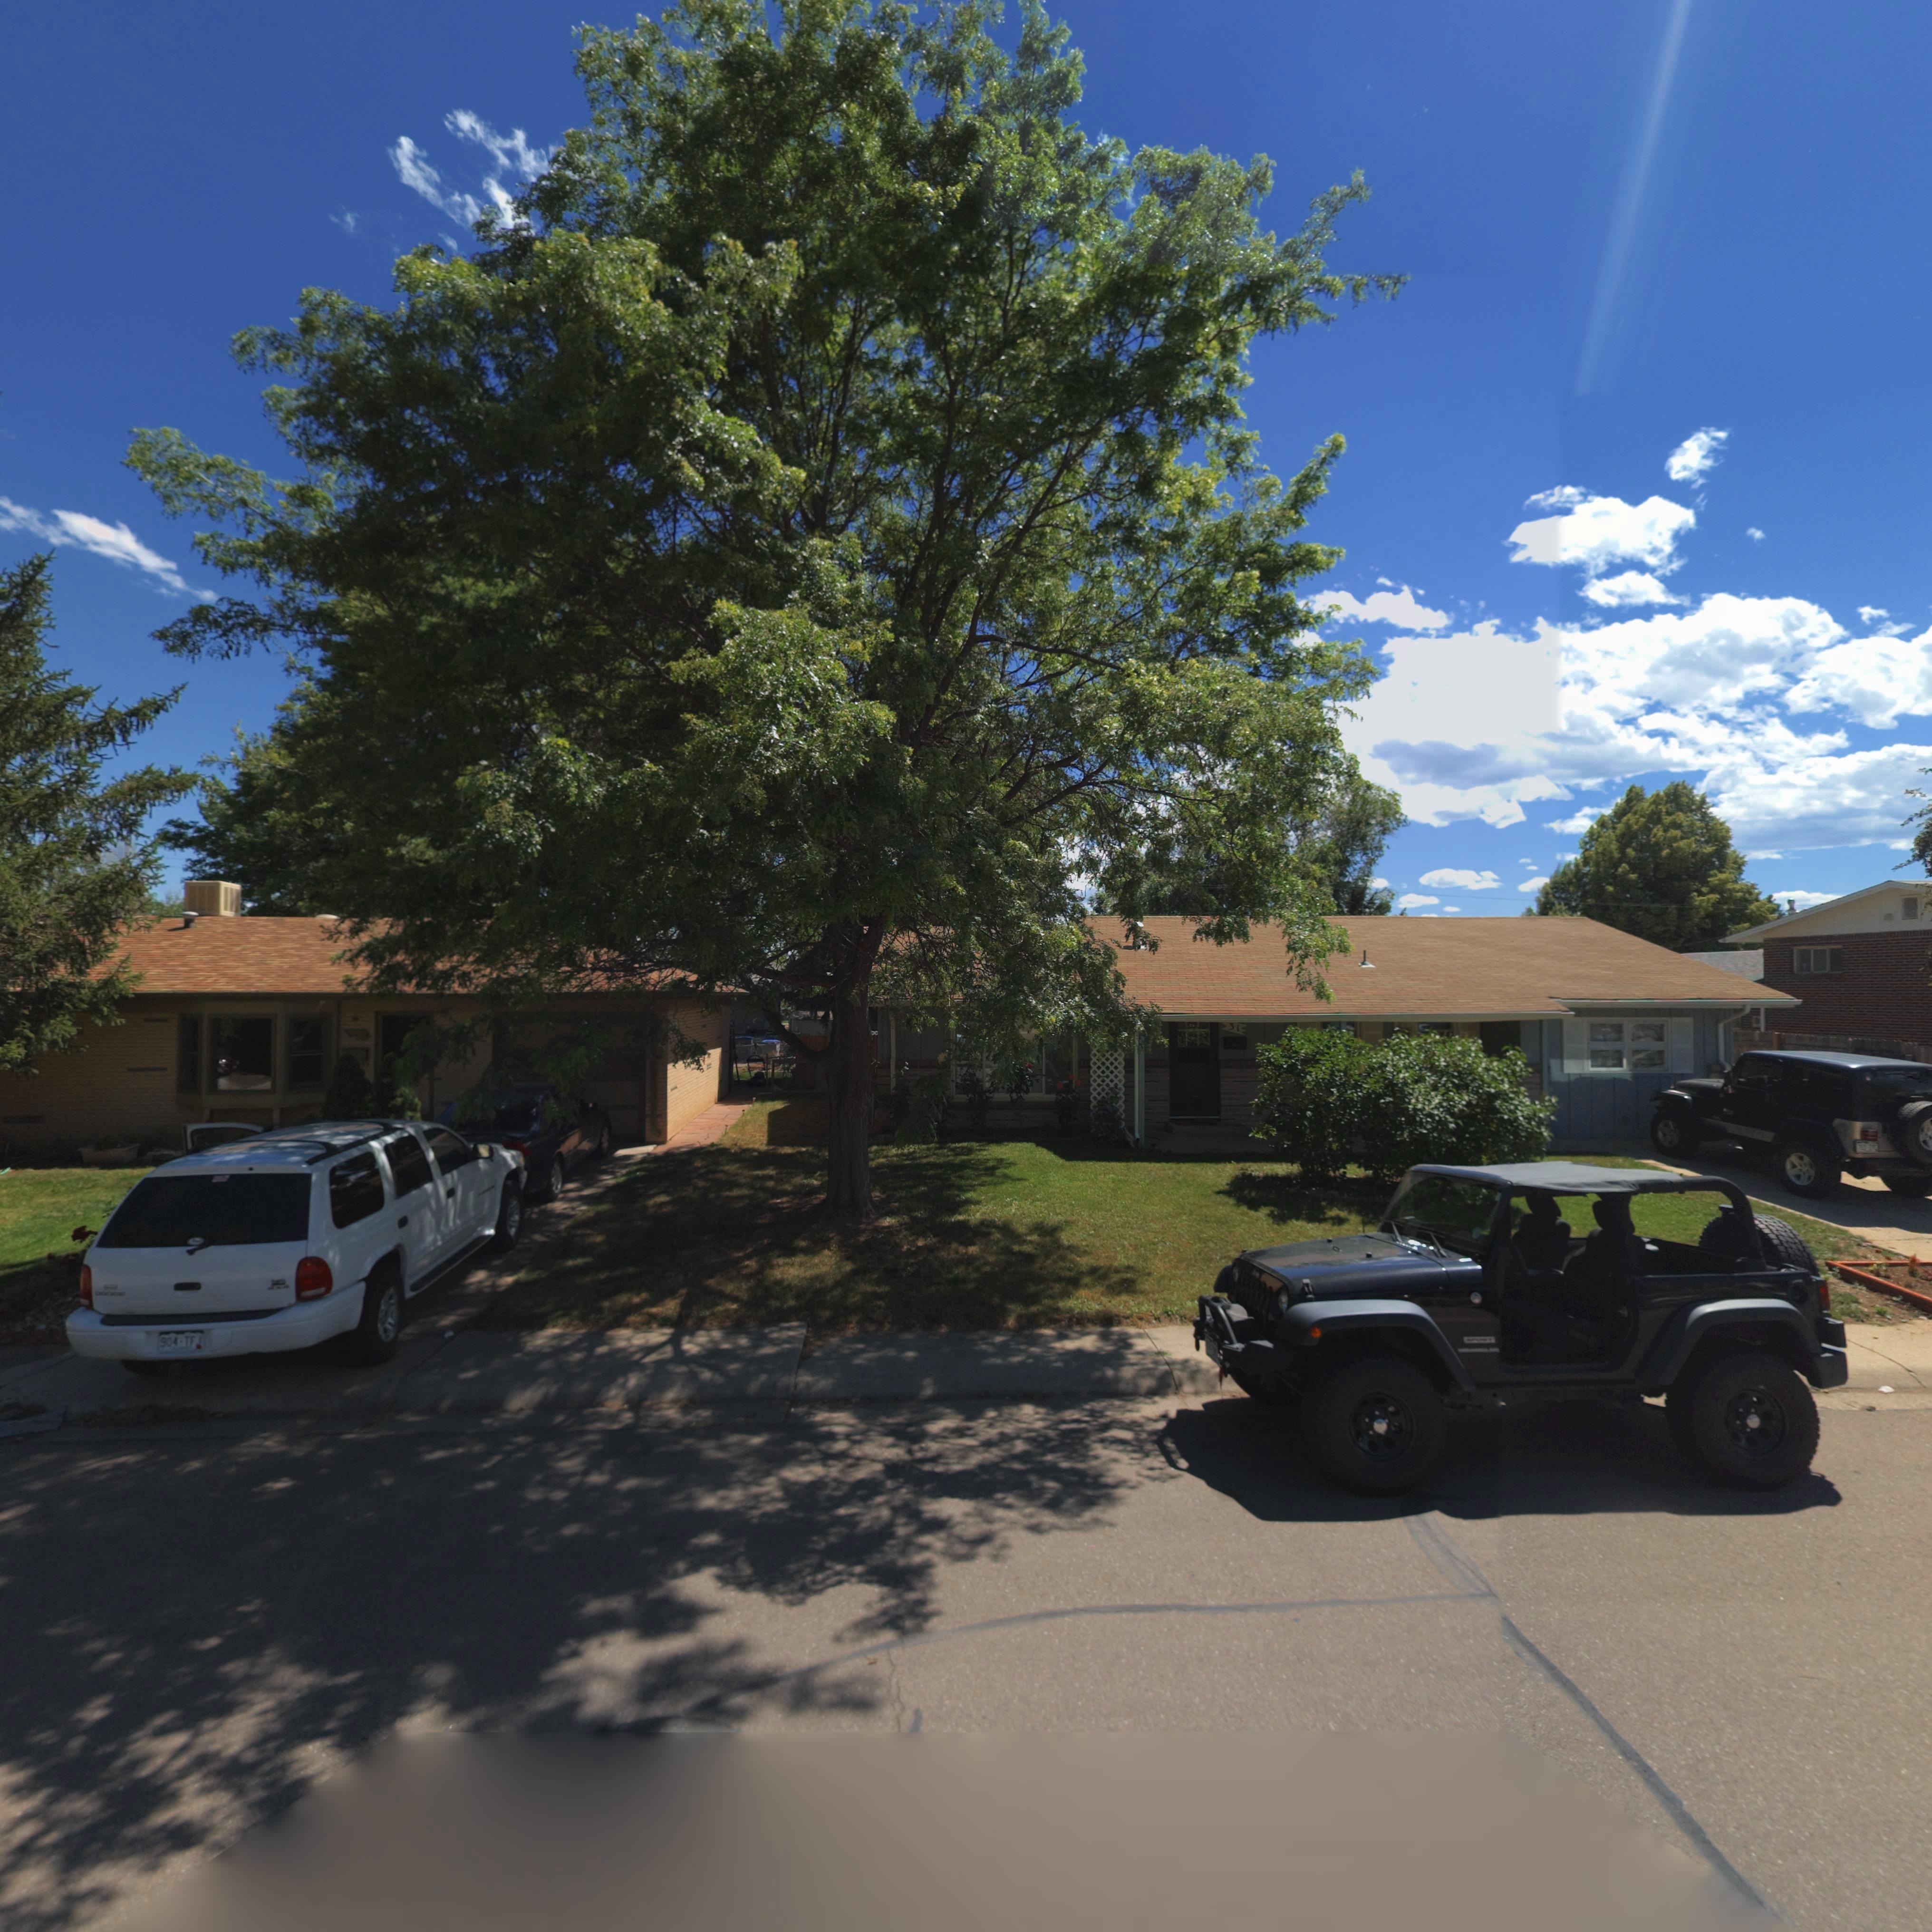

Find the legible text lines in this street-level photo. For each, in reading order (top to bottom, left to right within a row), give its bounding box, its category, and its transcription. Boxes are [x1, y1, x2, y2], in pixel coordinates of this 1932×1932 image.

[1229, 1023, 1239, 1032] StreetNumber: 31